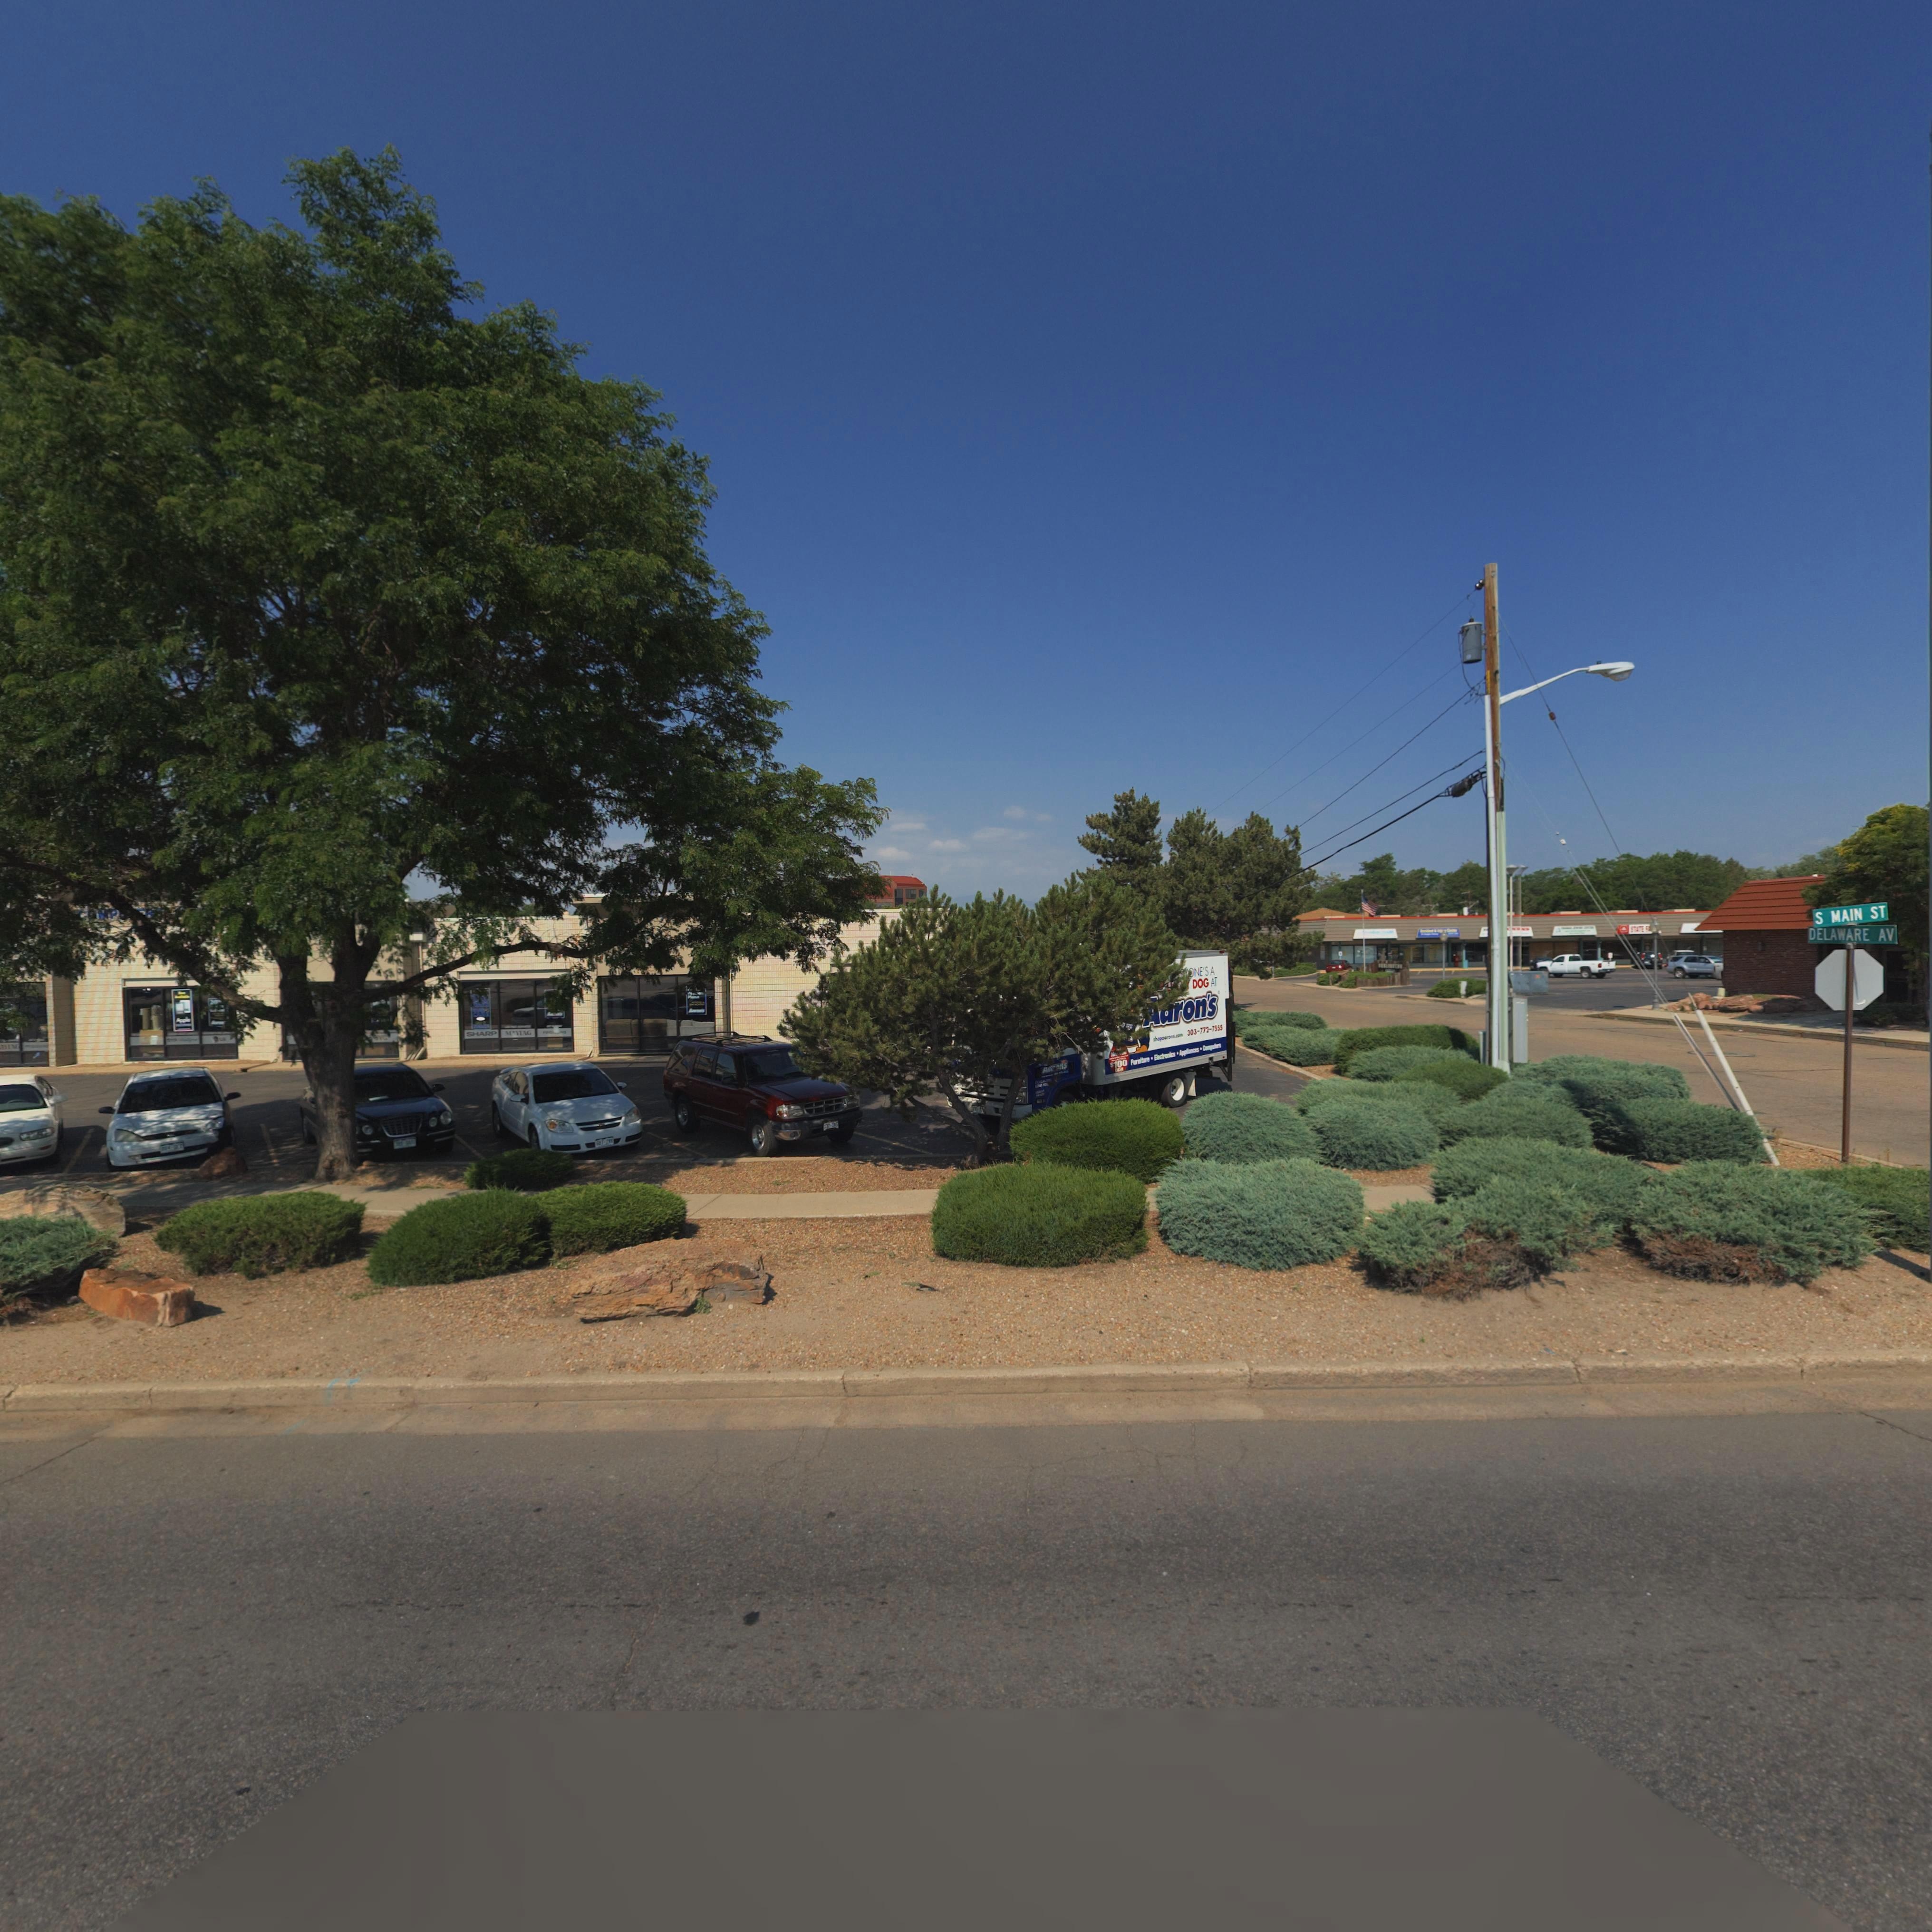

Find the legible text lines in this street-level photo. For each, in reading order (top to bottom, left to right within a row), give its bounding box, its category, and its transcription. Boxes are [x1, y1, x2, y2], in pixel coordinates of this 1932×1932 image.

[1815, 904, 1886, 925] StreetName: S MAIN ST
[1630, 925, 1652, 933] BusinessName: STATE **
[1808, 927, 1895, 942] StreetName: DELAWARE AV